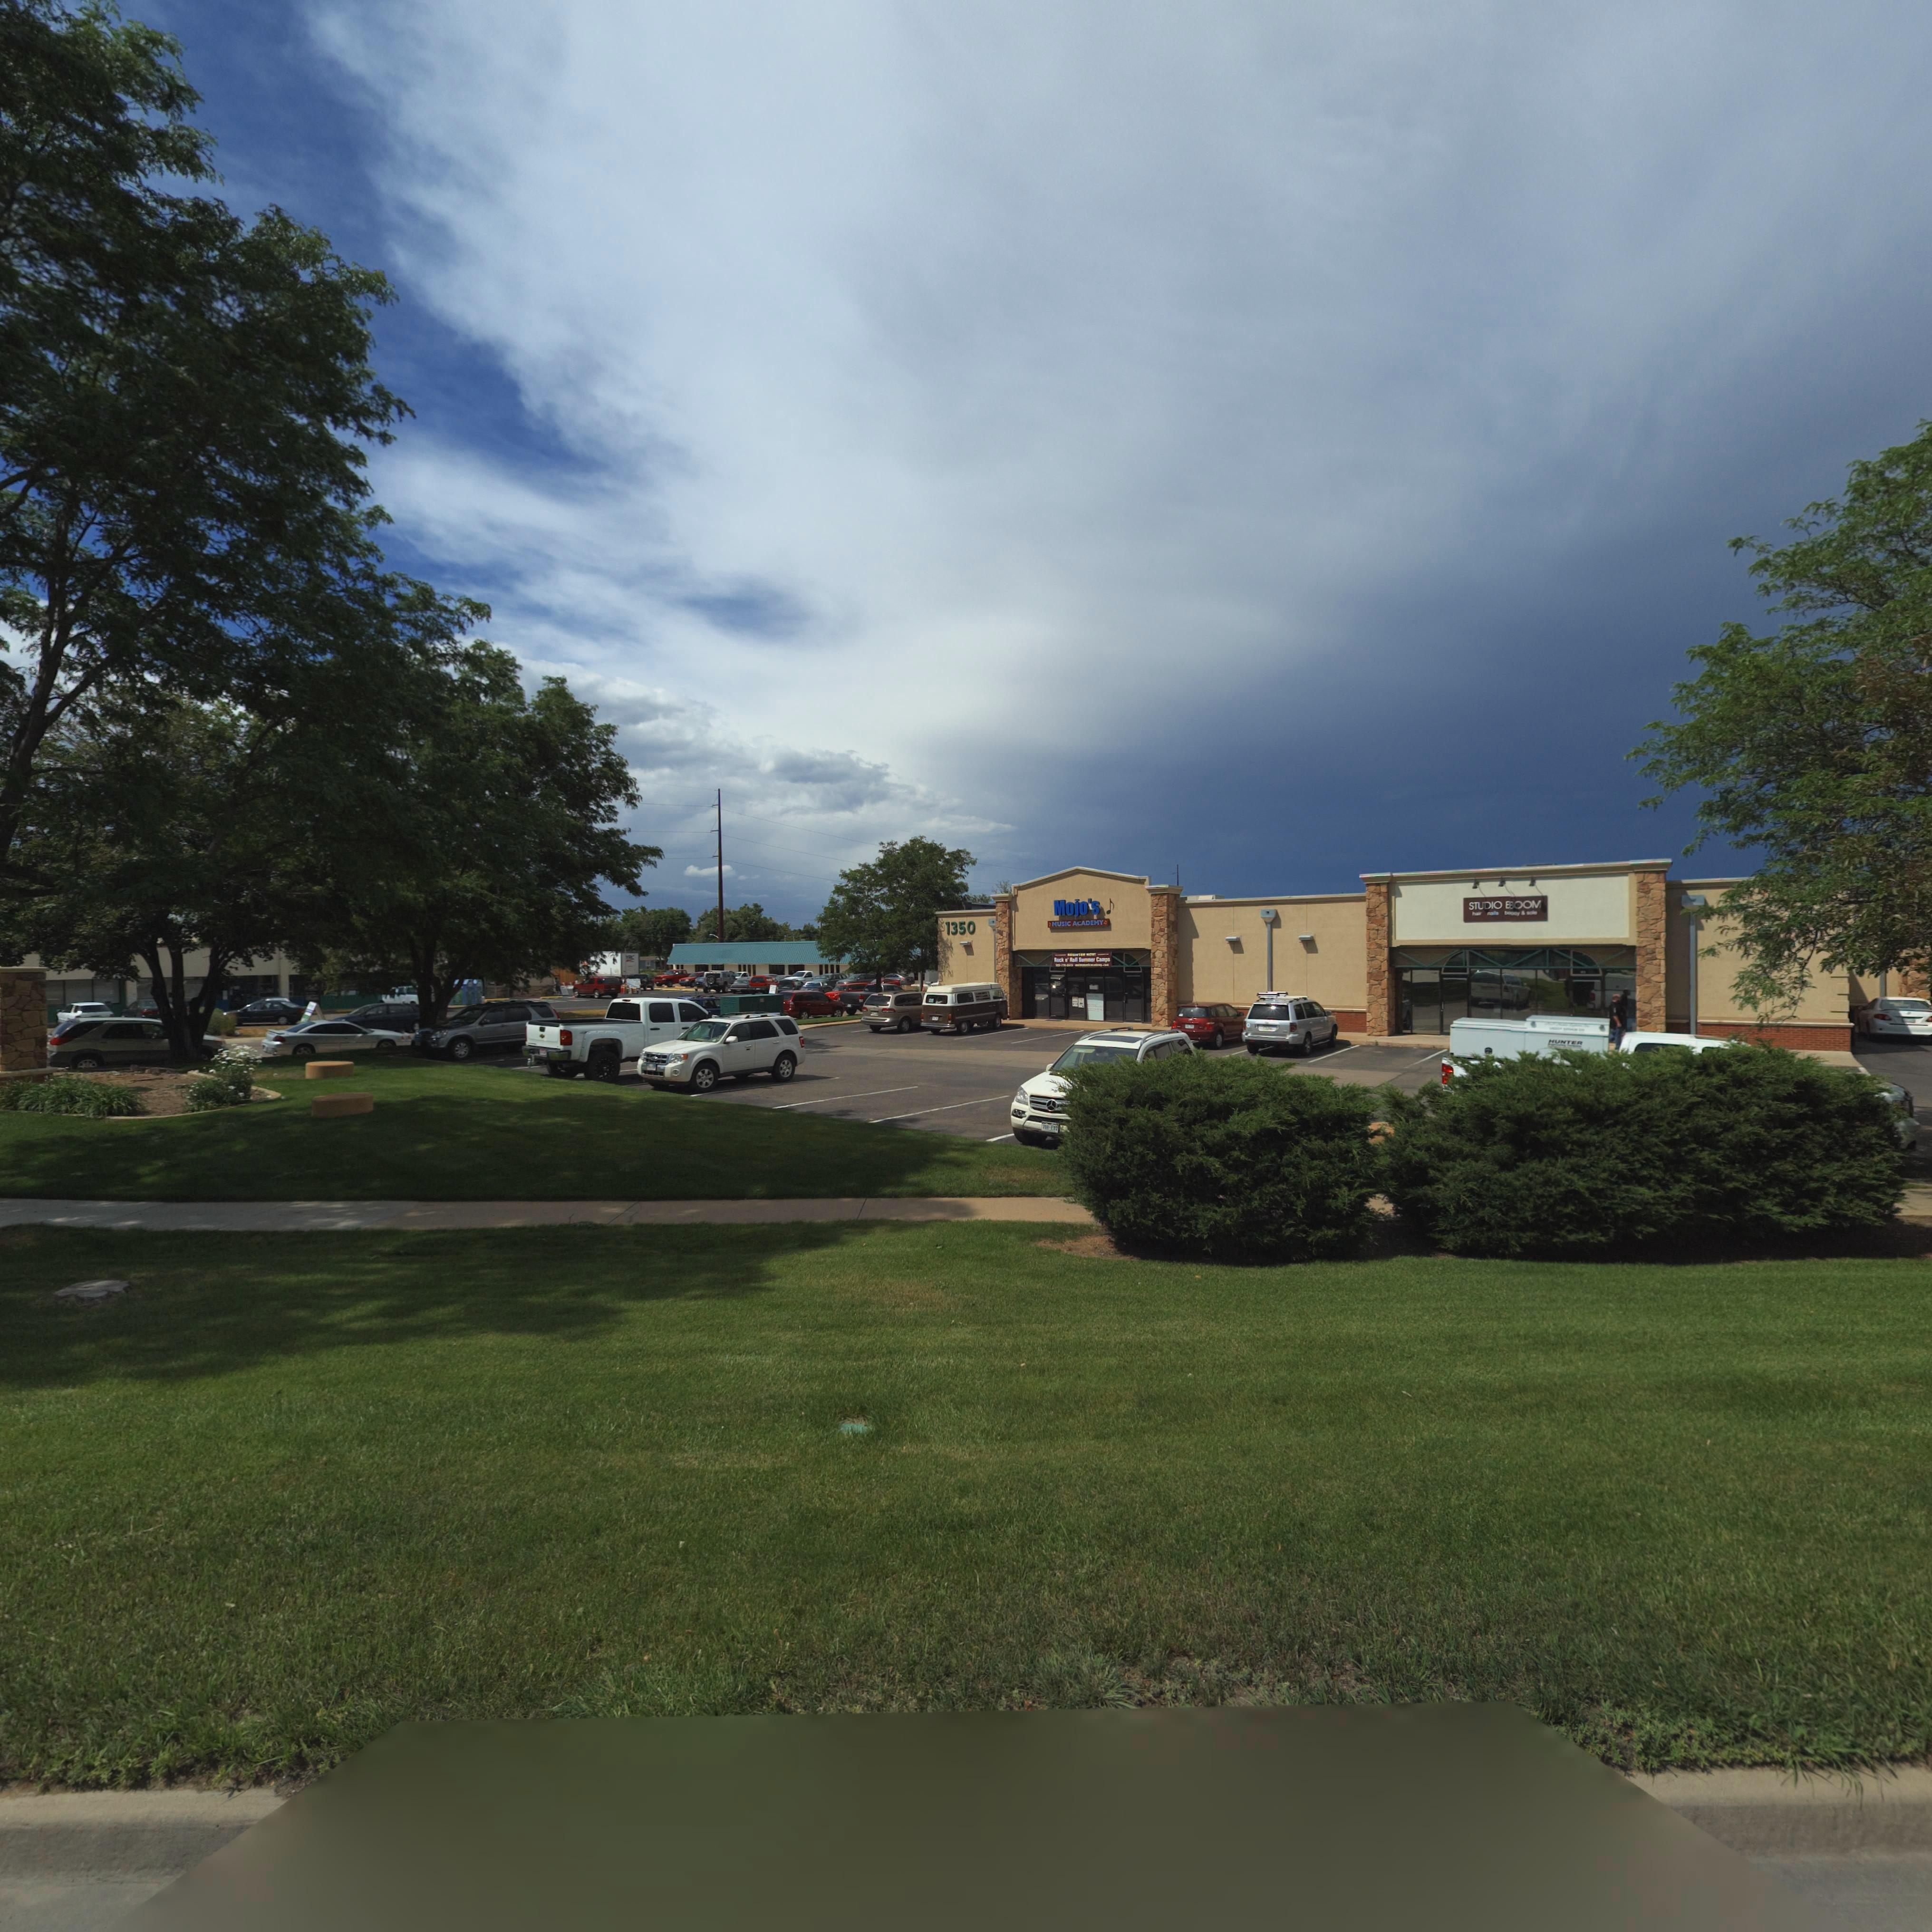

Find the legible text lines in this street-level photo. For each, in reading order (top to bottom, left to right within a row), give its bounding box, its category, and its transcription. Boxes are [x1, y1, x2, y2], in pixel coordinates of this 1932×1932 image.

[1053, 898, 1100, 917] BusinessName: Mojo's
[1468, 899, 1542, 910] BusinessName: STUDIO **OOM
[945, 920, 976, 934] StreetNumber: 1350
[1051, 919, 1103, 927] BusinessName: MUSIC ACADEMY